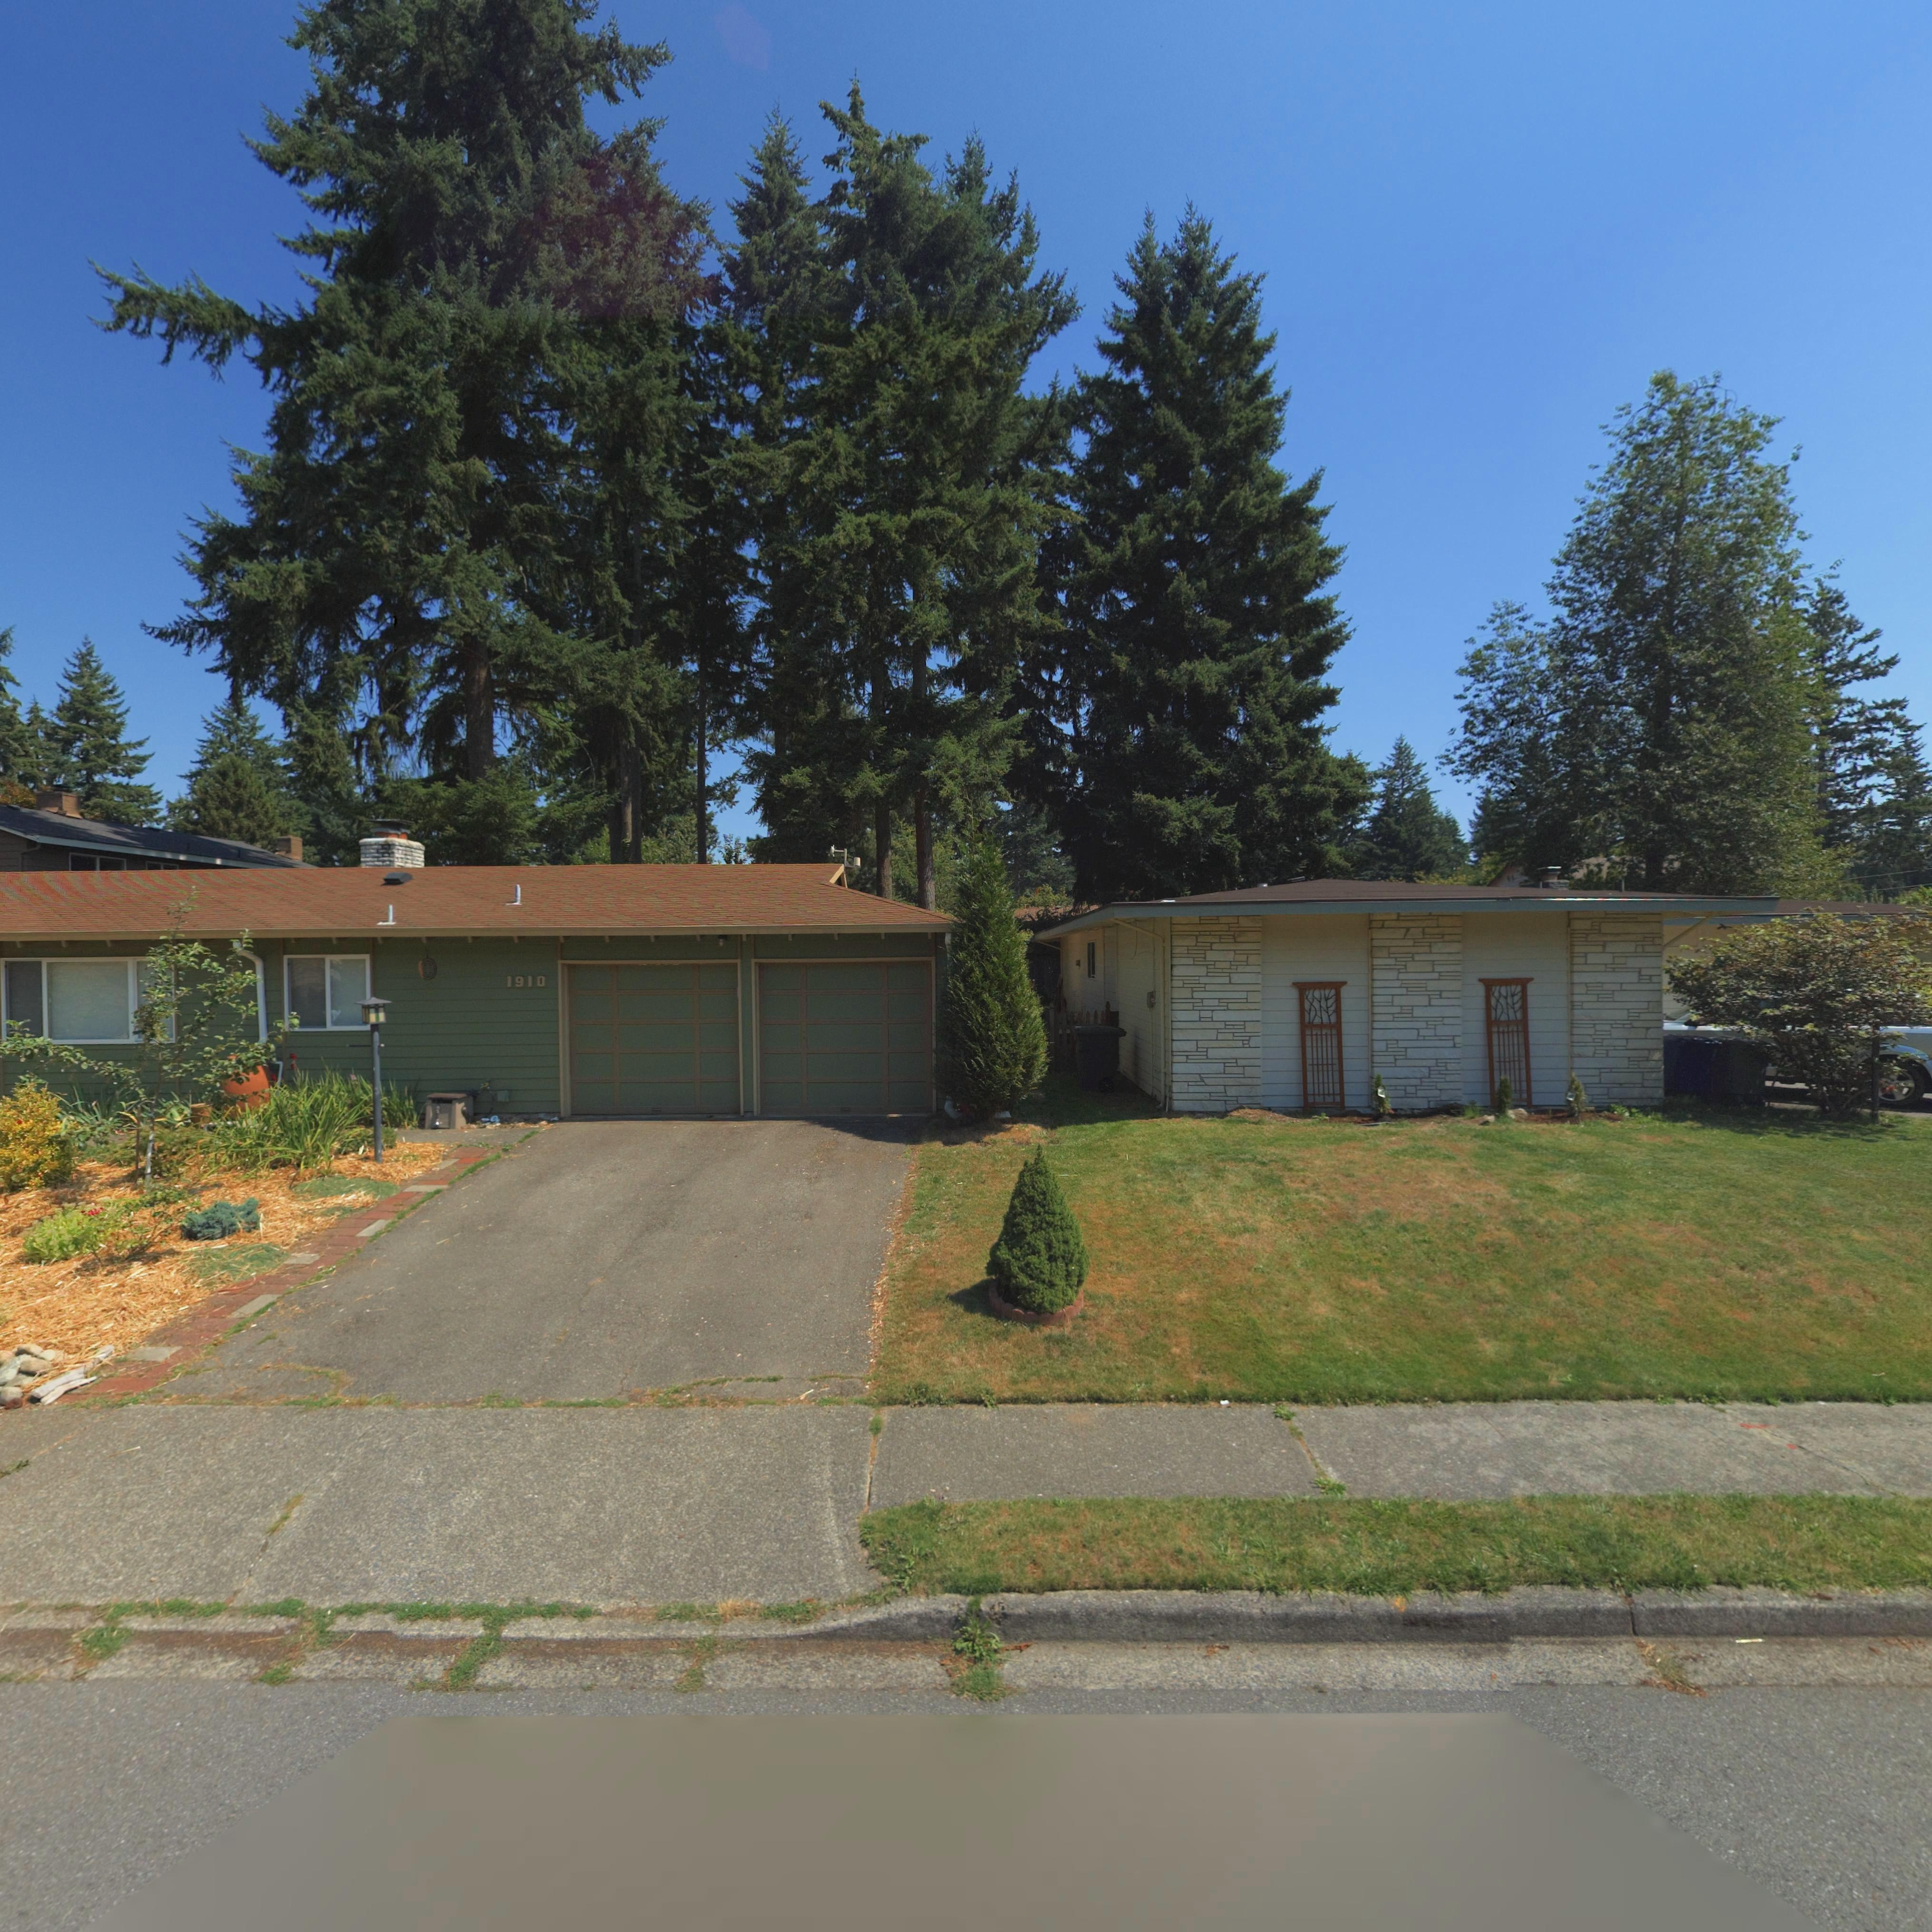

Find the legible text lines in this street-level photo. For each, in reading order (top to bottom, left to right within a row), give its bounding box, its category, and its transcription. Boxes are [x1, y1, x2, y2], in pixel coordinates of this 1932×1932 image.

[506, 975, 545, 987] StreetNumber: 1910